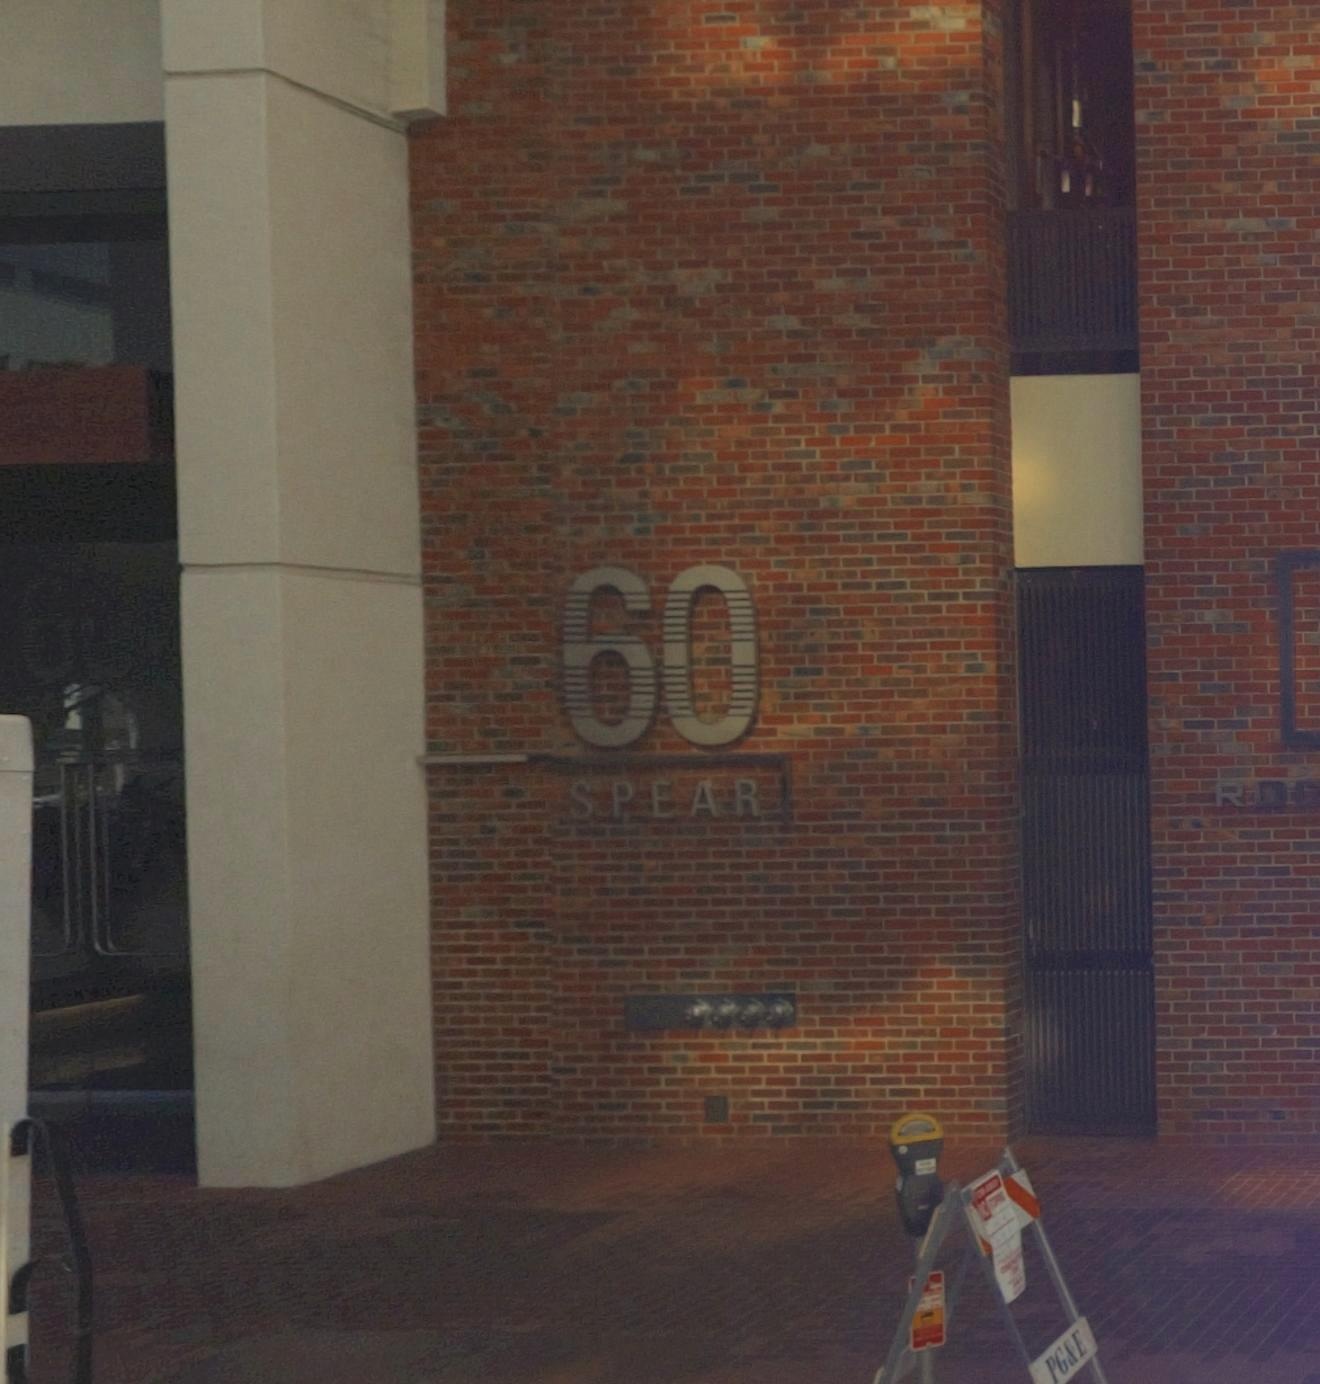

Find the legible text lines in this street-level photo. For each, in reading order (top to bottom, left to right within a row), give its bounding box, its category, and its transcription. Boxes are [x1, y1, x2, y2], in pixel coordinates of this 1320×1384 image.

[561, 563, 760, 749] StreetNumber: 60
[567, 778, 762, 822] StreetName: SPEAR
[1214, 778, 1246, 809] BusinessName: R
[1043, 1326, 1090, 1384] None: PG&E